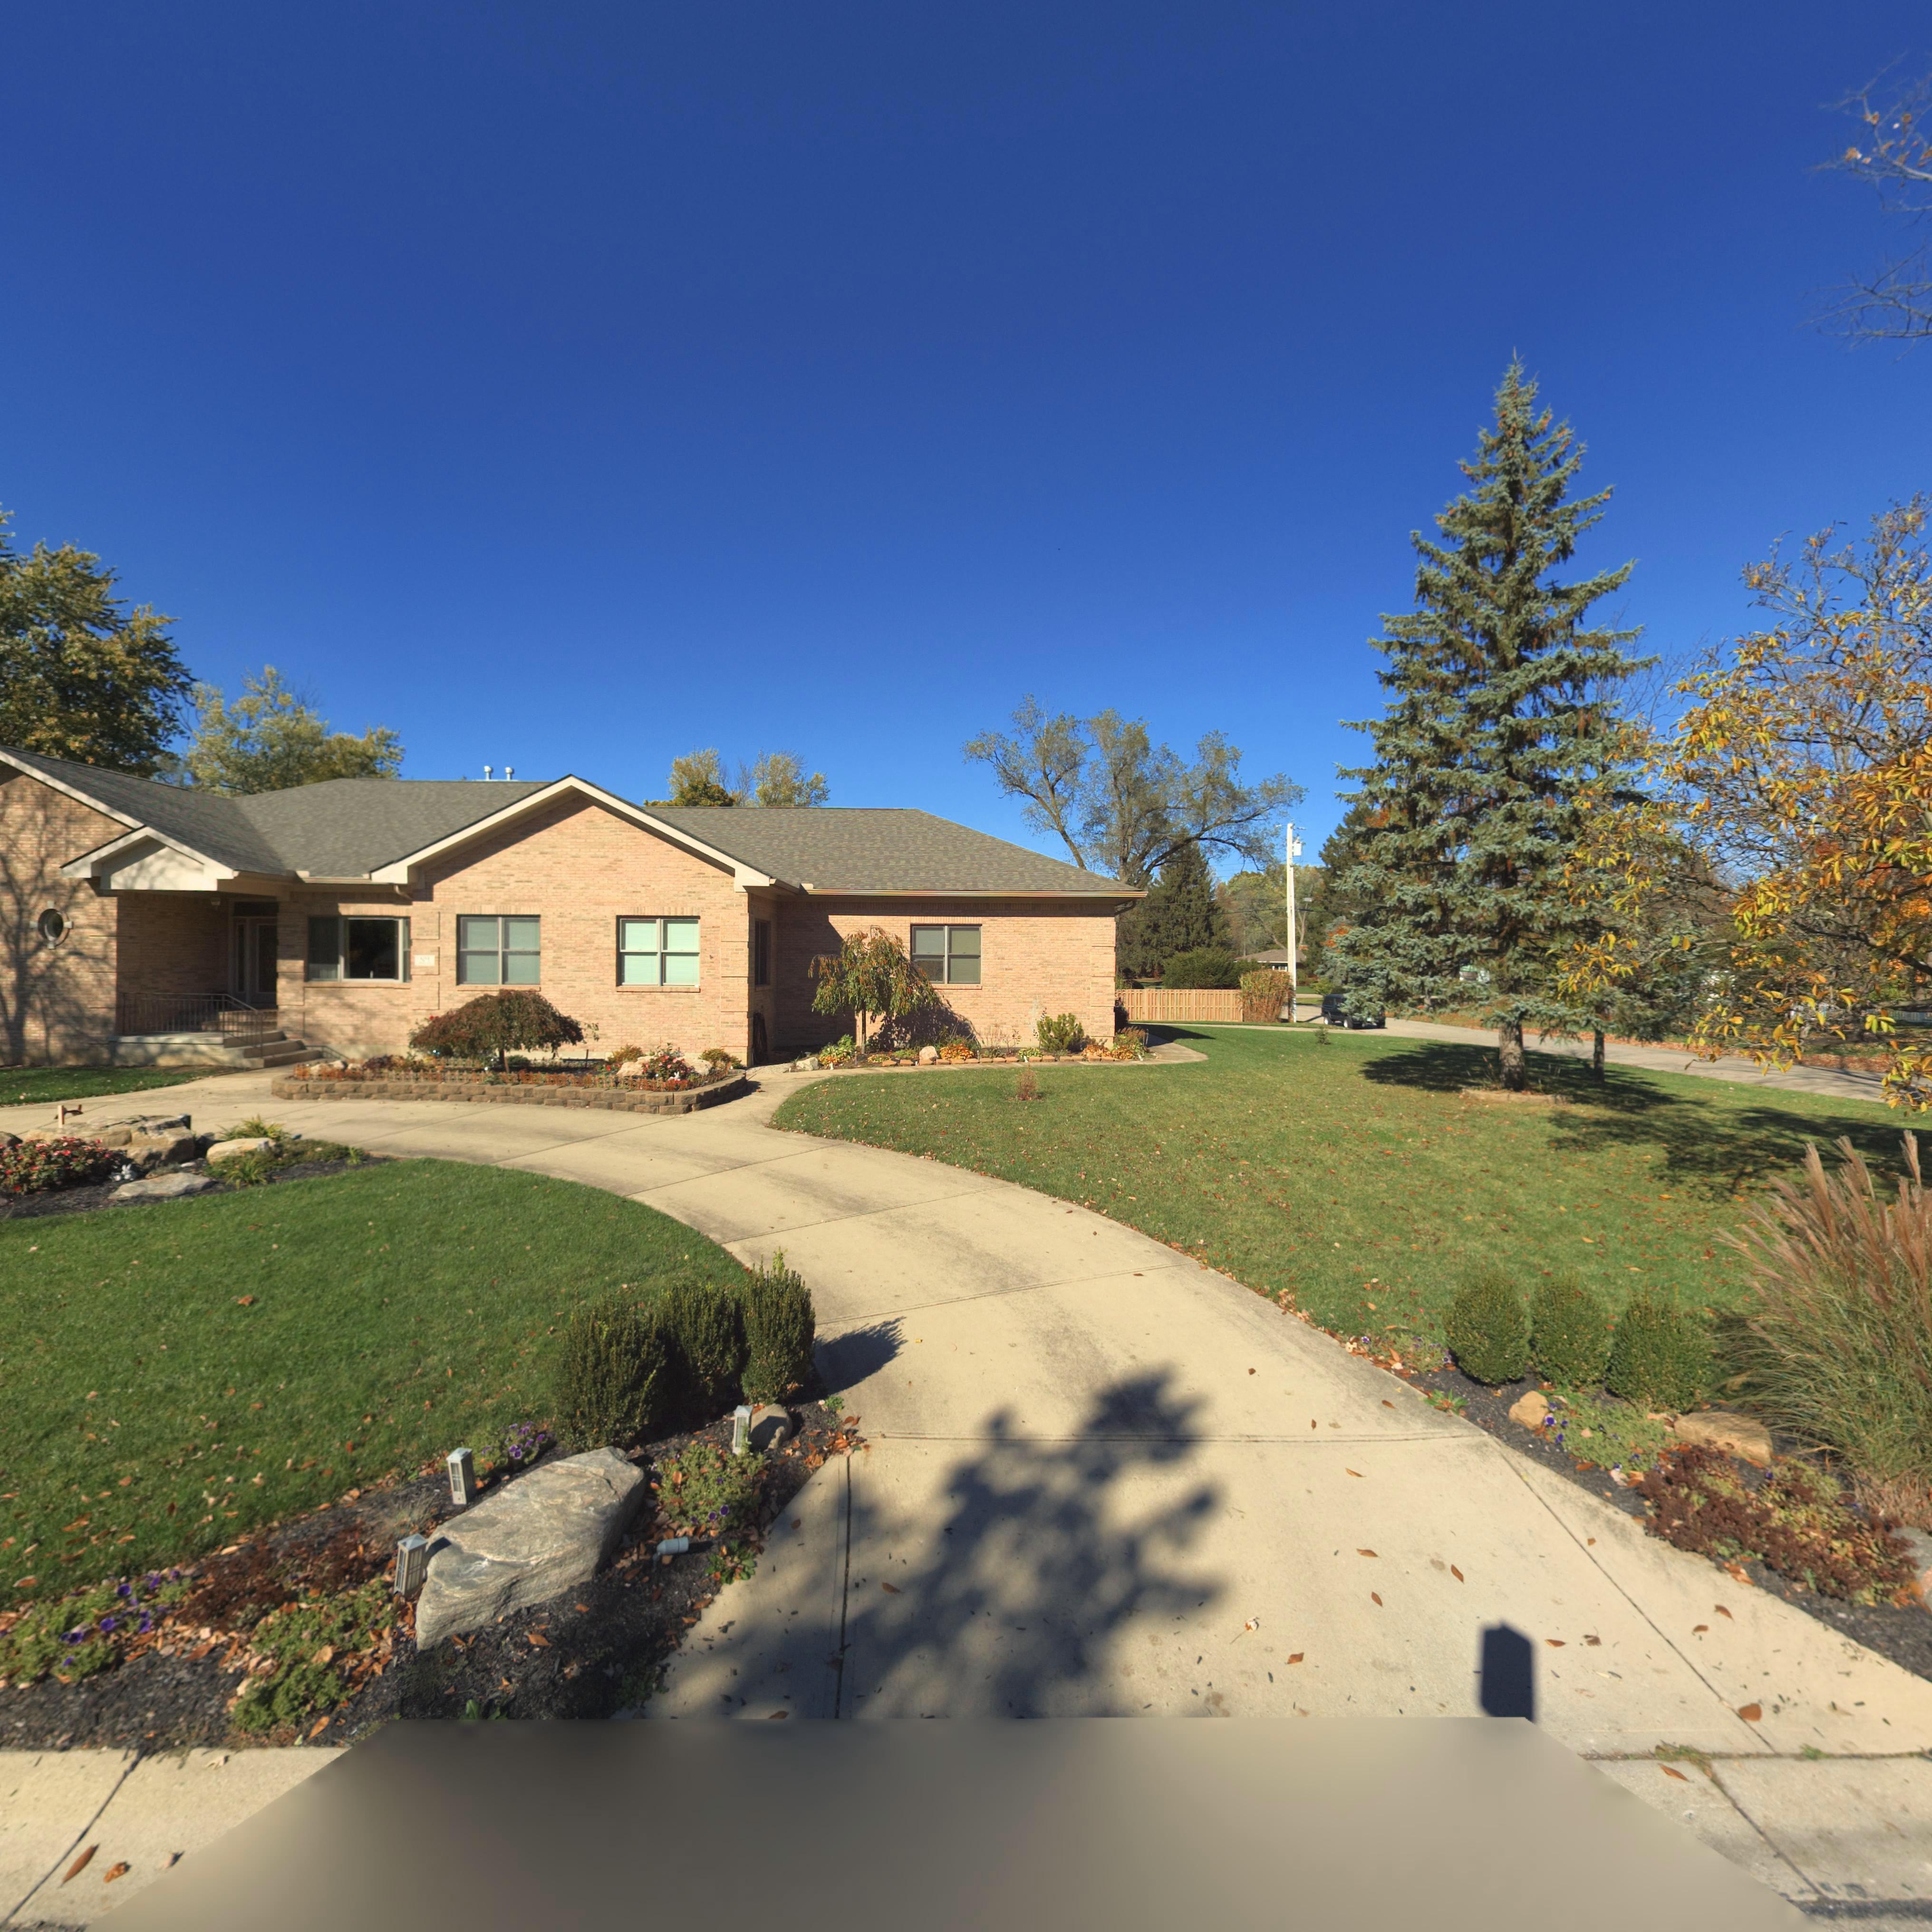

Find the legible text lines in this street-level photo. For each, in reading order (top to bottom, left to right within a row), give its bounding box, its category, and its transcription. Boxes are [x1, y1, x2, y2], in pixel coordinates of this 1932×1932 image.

[419, 956, 430, 963] StreetNumber: 50*